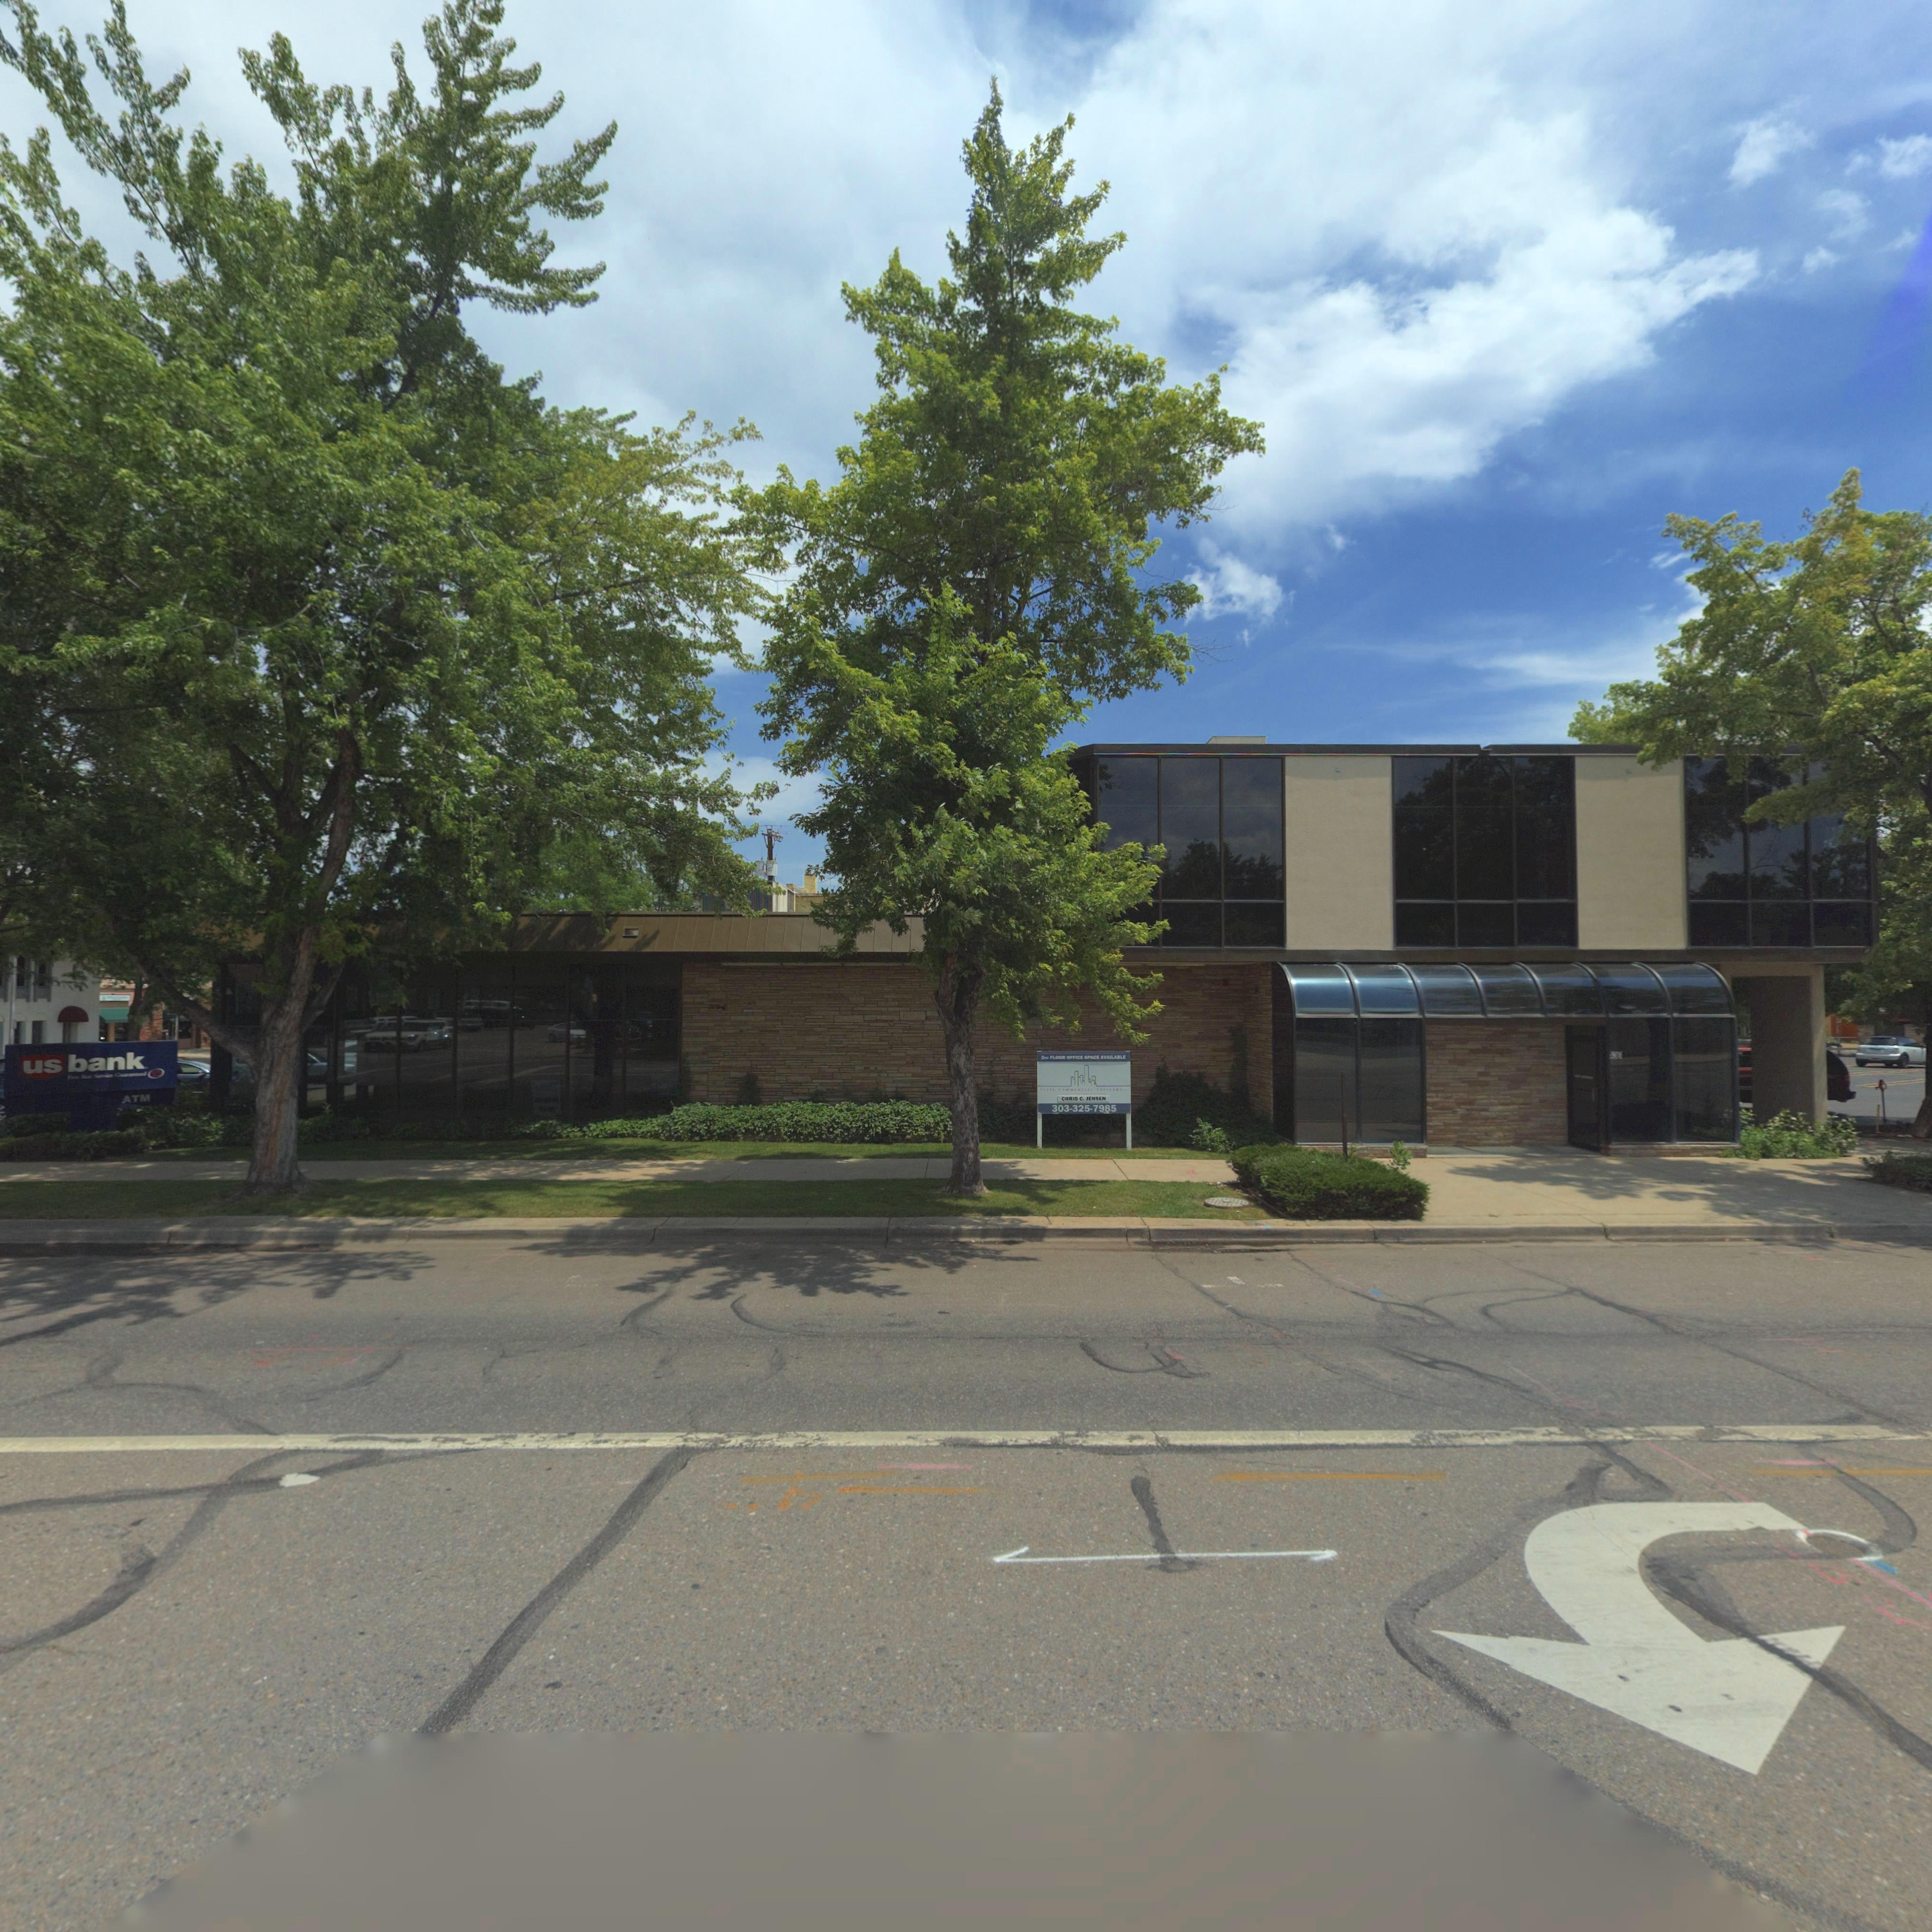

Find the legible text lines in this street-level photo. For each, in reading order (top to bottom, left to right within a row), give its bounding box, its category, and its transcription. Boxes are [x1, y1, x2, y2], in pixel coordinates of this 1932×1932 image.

[708, 1003, 727, 1010] StreetNumber: *10*
[23, 1052, 146, 1074] BusinessName: usbank